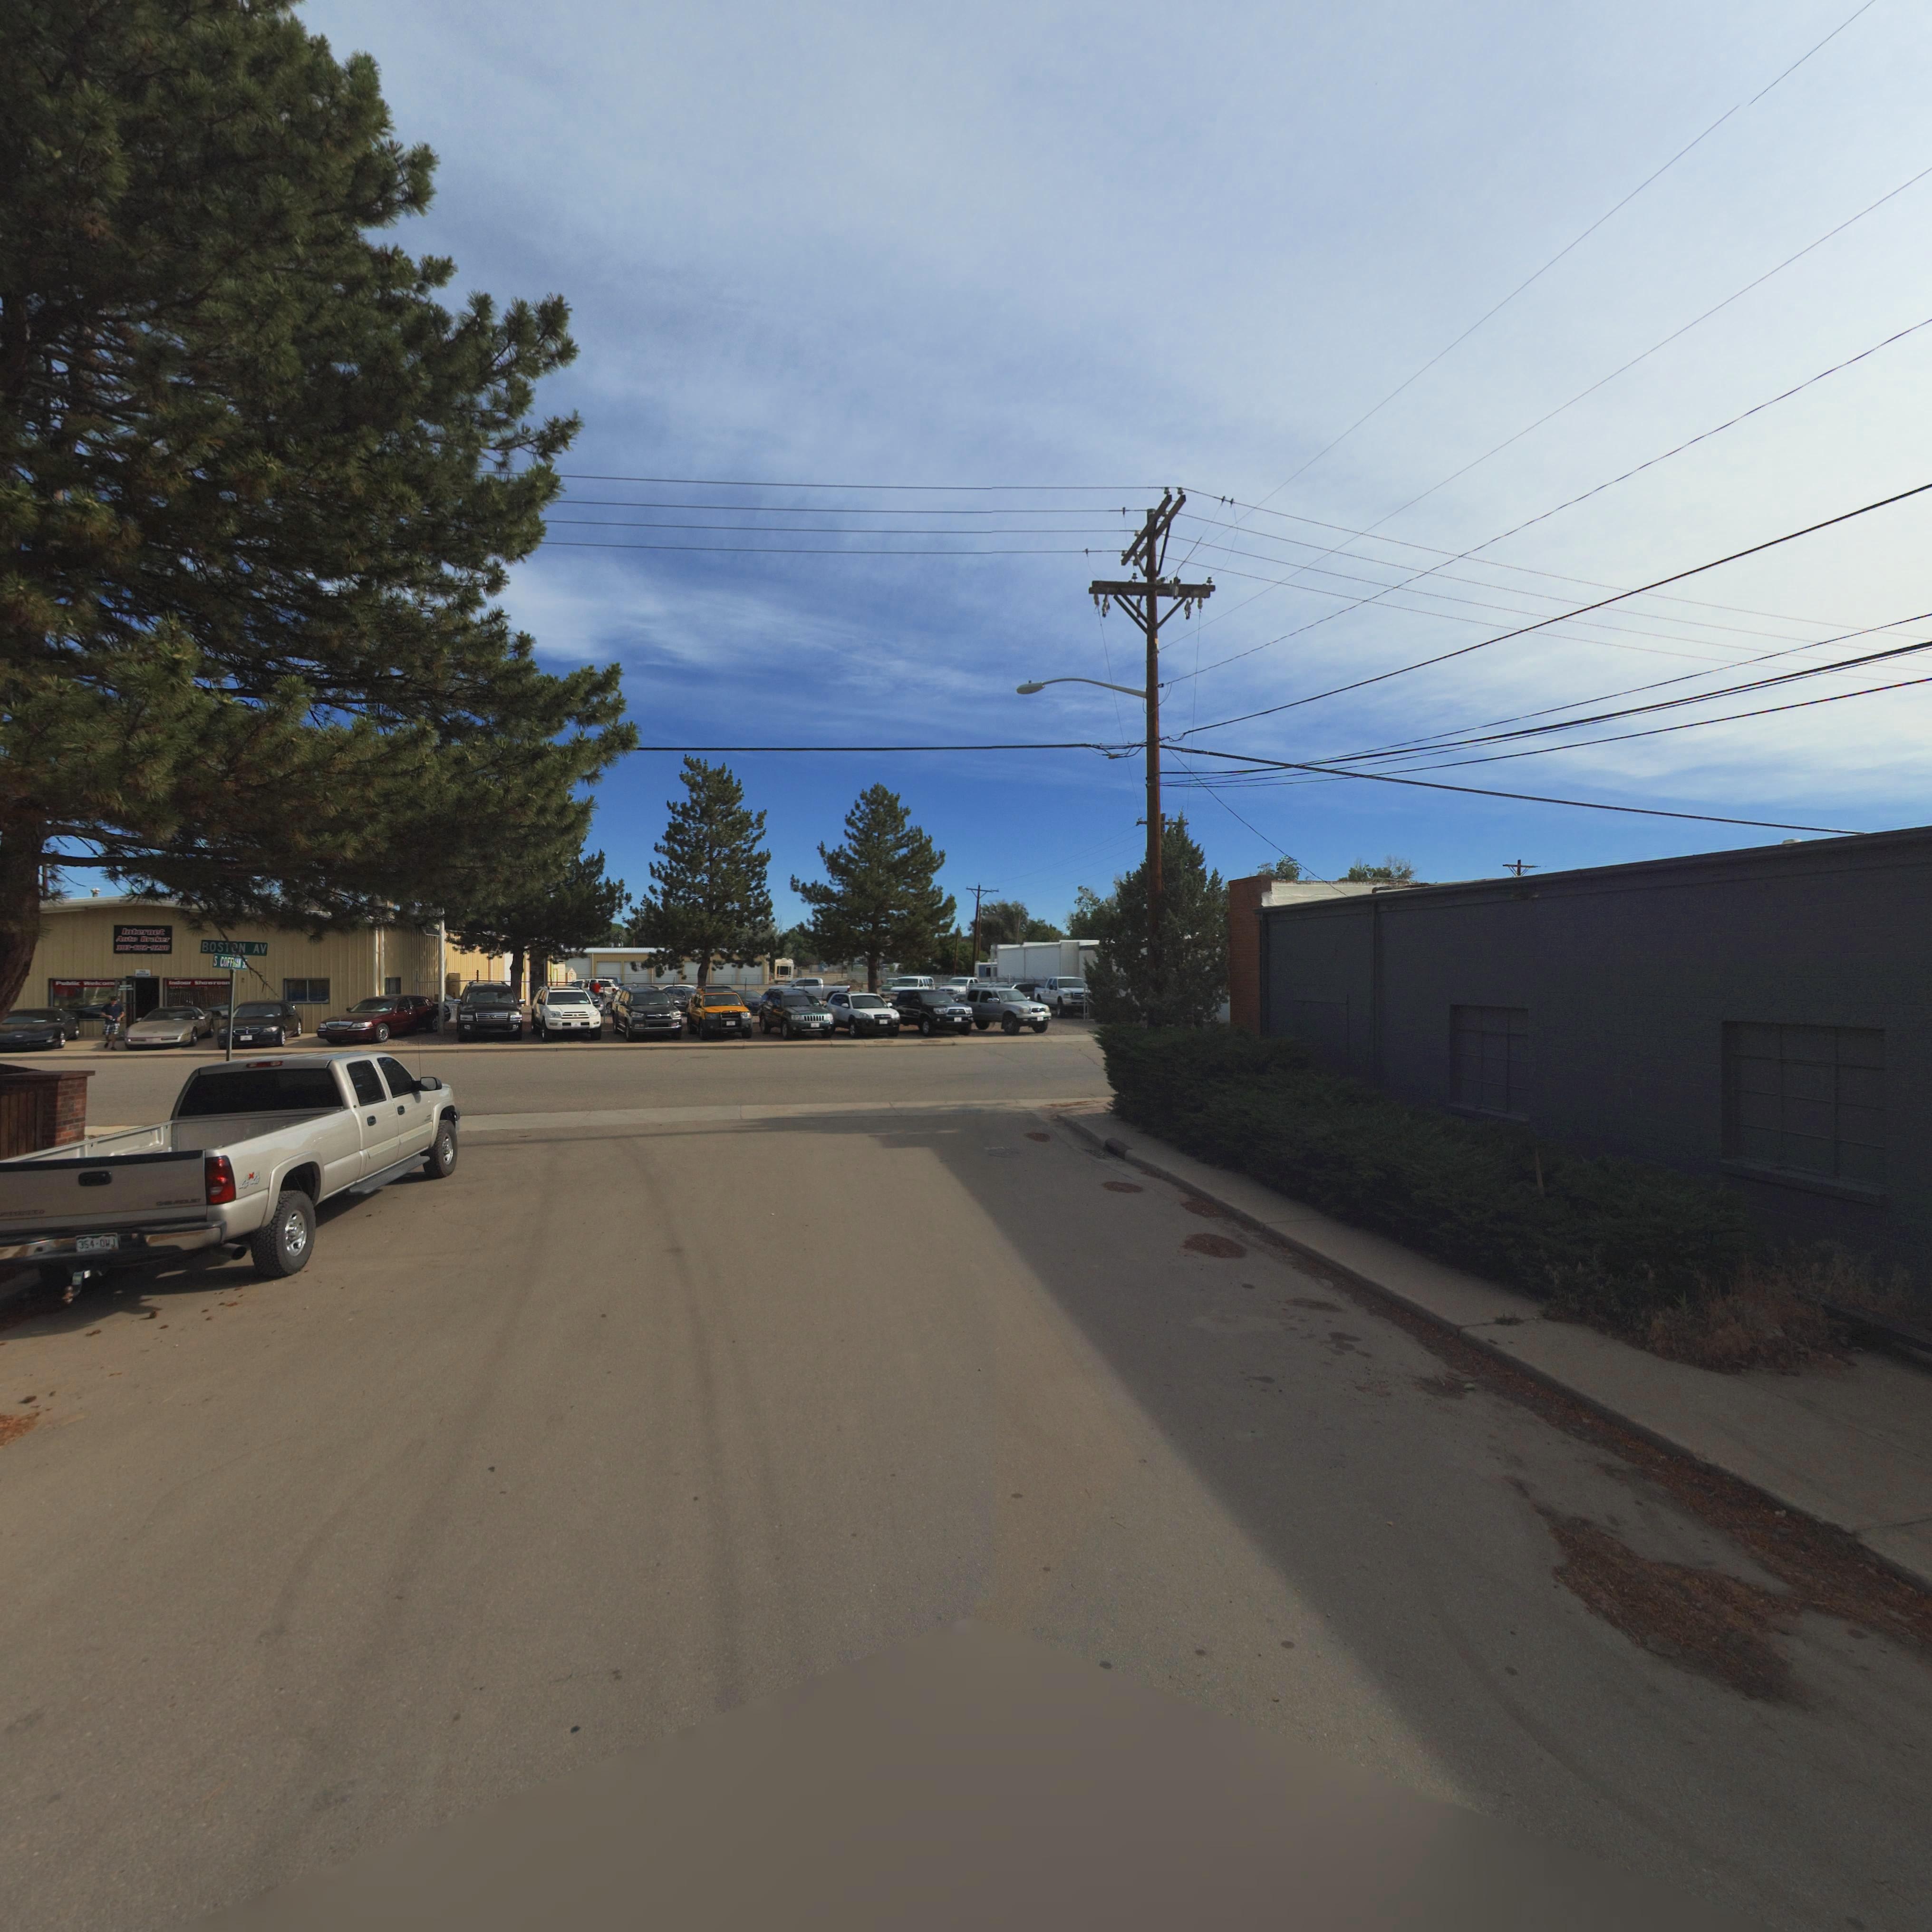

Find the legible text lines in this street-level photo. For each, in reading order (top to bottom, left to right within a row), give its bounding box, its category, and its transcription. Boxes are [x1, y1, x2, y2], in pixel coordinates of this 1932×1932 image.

[121, 928, 165, 935] StreetName: Internet
[115, 935, 171, 942] BusinessName: Auto Broker
[201, 940, 267, 954] StreetName: BOSTON AV
[213, 955, 248, 968] StreetName: S COFFMAN **